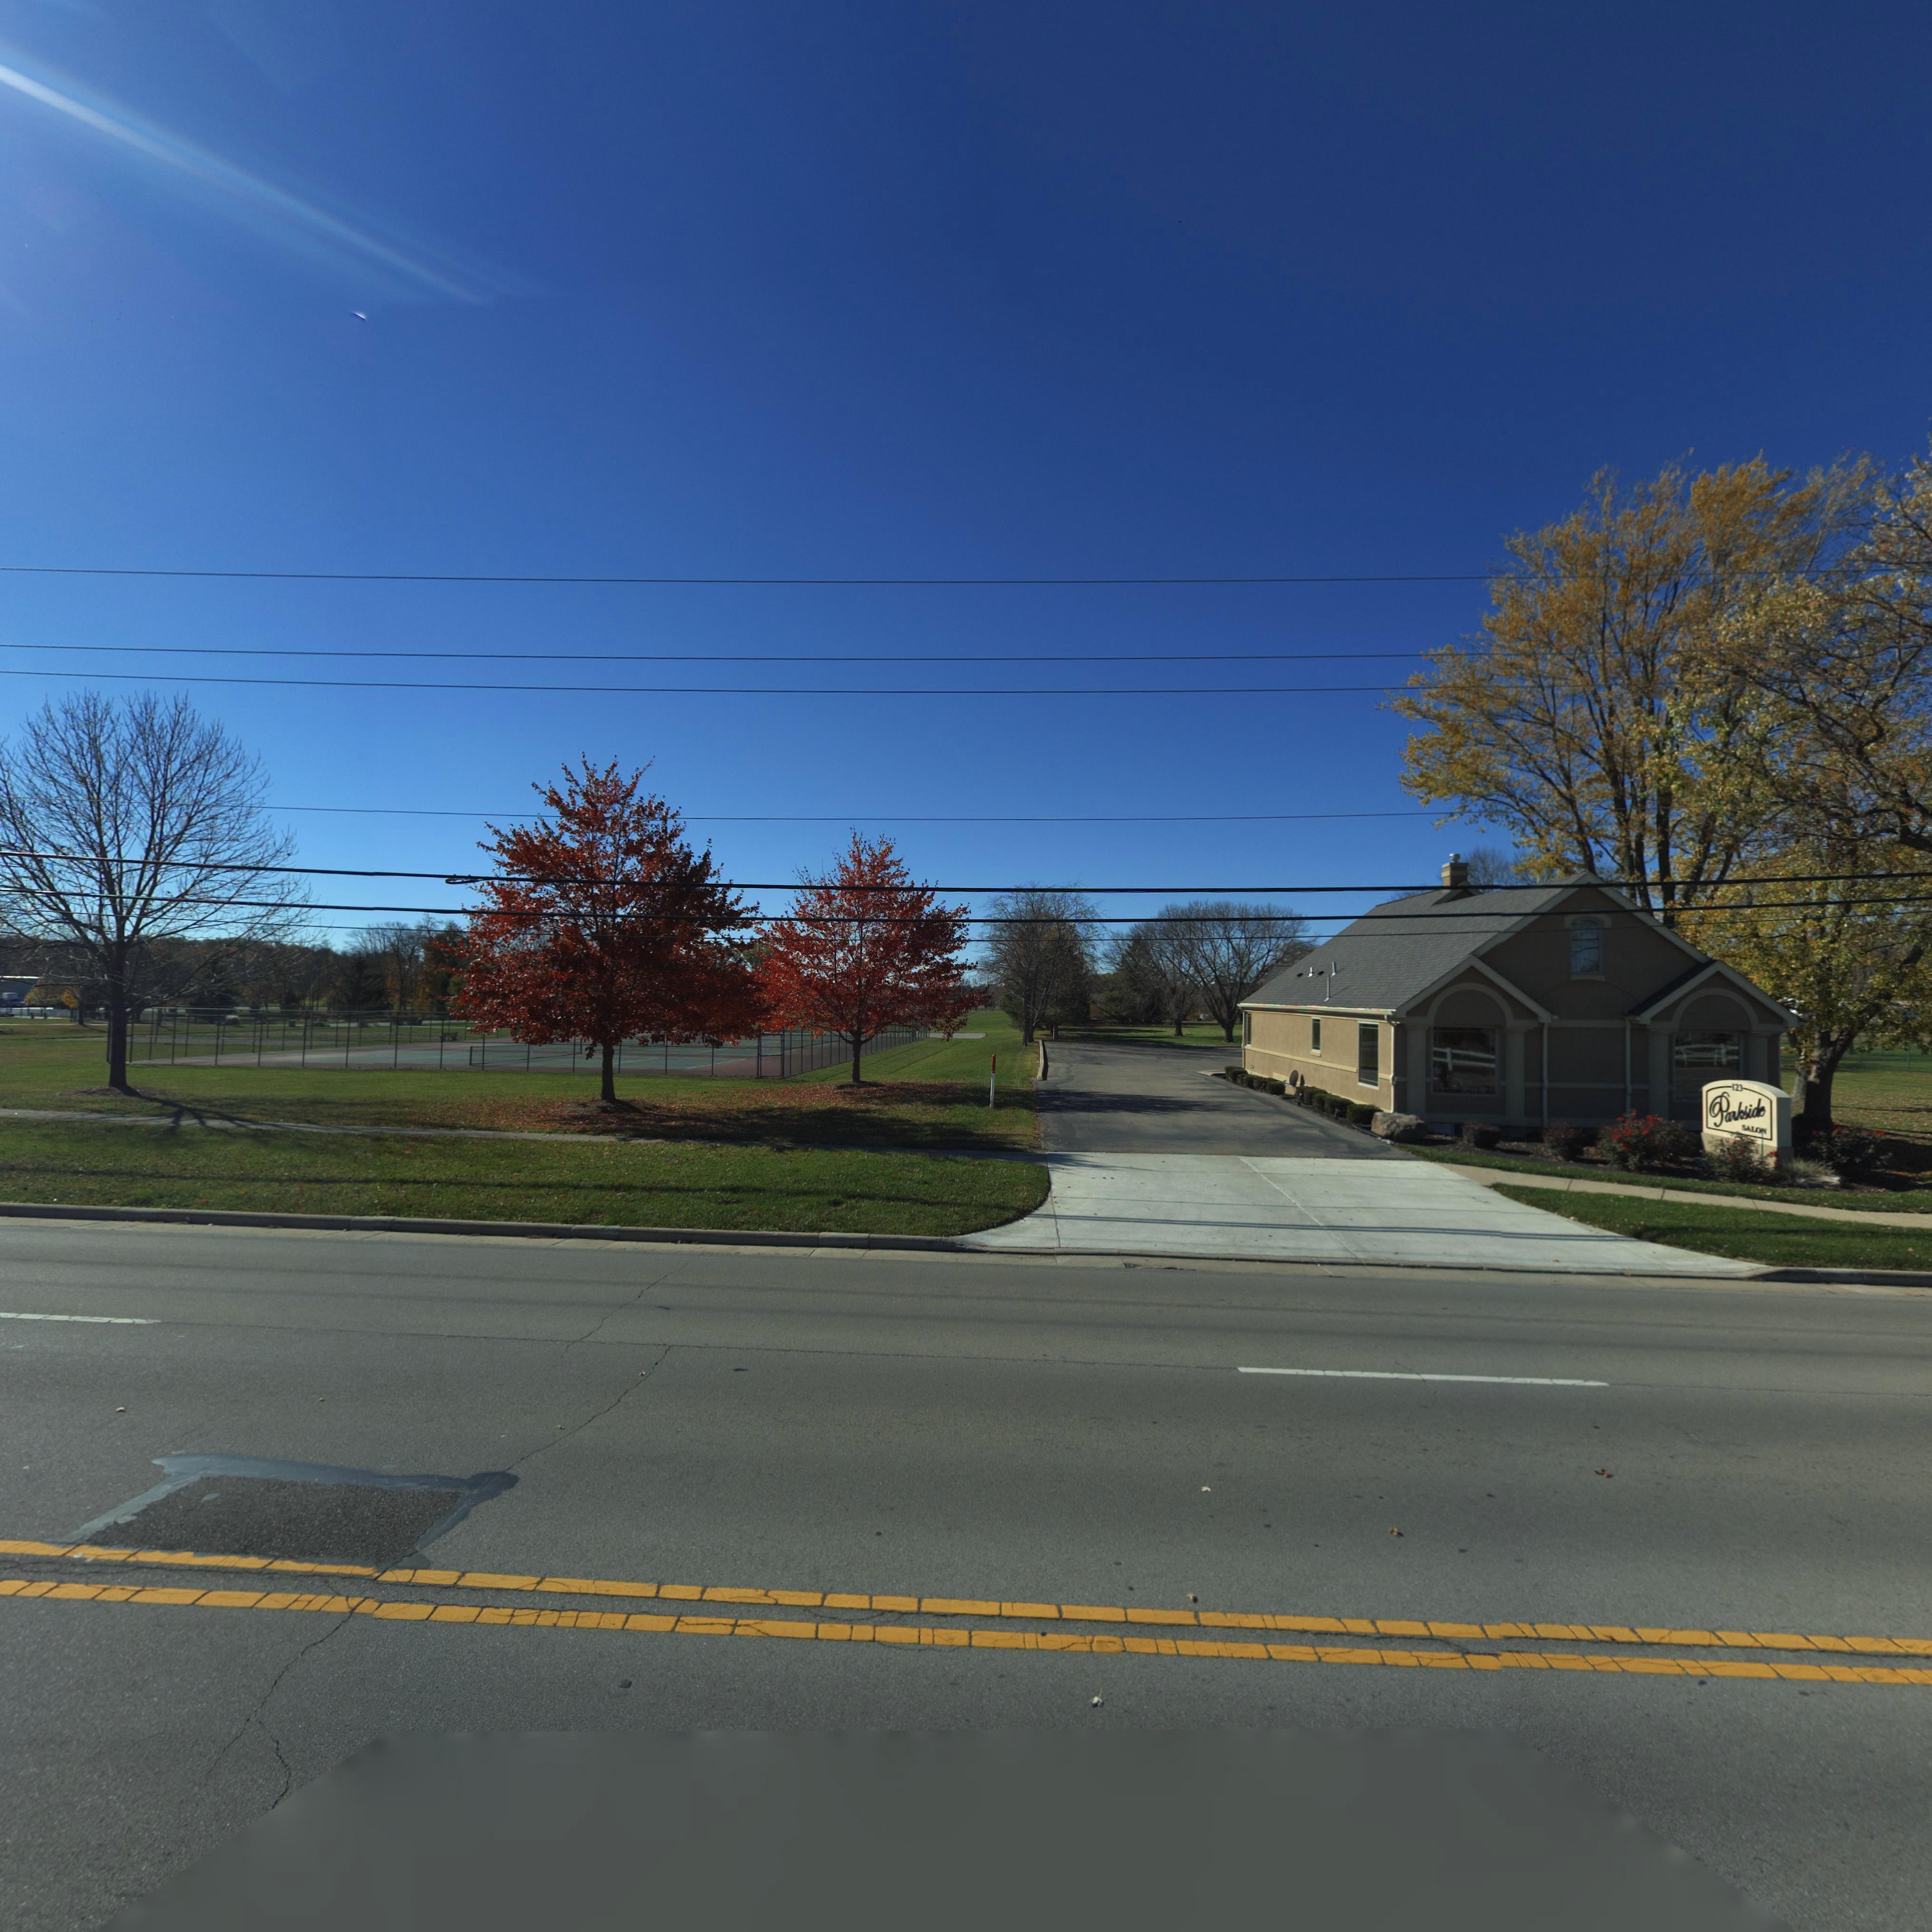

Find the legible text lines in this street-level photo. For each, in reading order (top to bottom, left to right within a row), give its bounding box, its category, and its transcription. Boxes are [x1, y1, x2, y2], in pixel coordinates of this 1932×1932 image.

[1730, 1082, 1744, 1093] StreetNumber: 123
[1708, 1091, 1767, 1129] BusinessName: Parkside
[1741, 1123, 1768, 1136] BusinessName: SALON